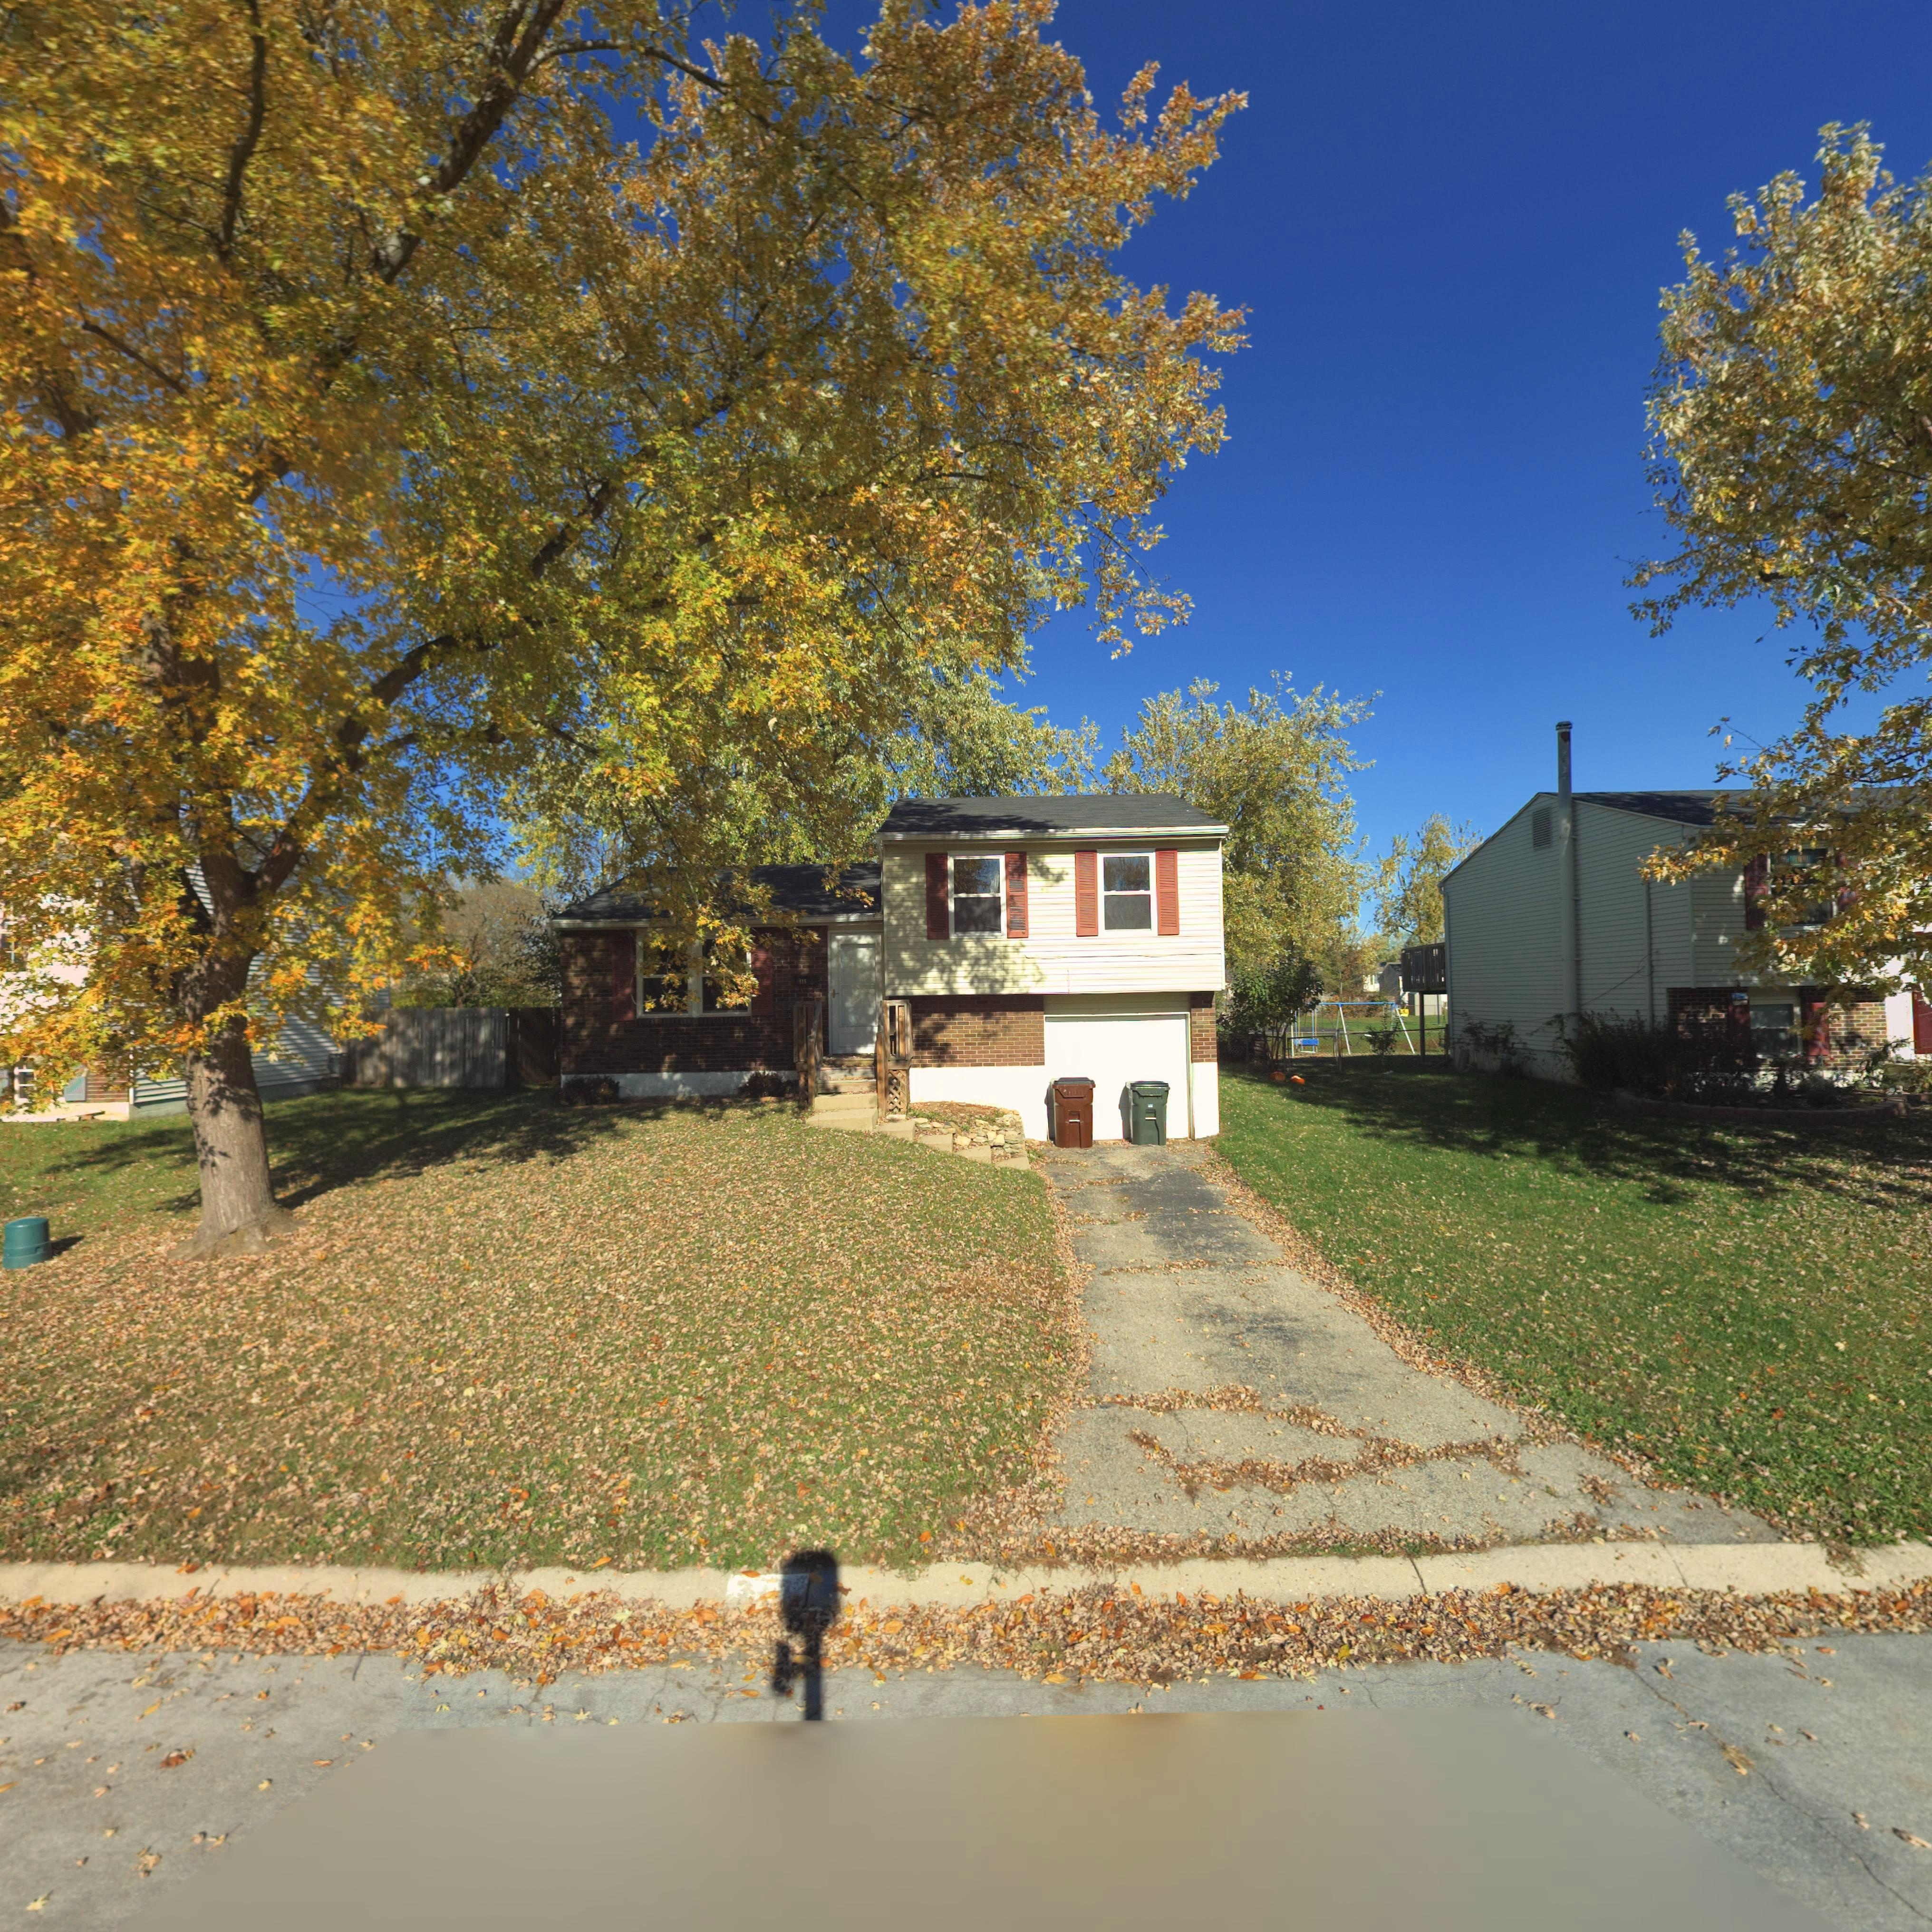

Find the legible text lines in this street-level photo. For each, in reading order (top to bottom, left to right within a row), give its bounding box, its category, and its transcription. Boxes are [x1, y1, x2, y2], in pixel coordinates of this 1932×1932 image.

[799, 978, 807, 985] StreetNumber: 118